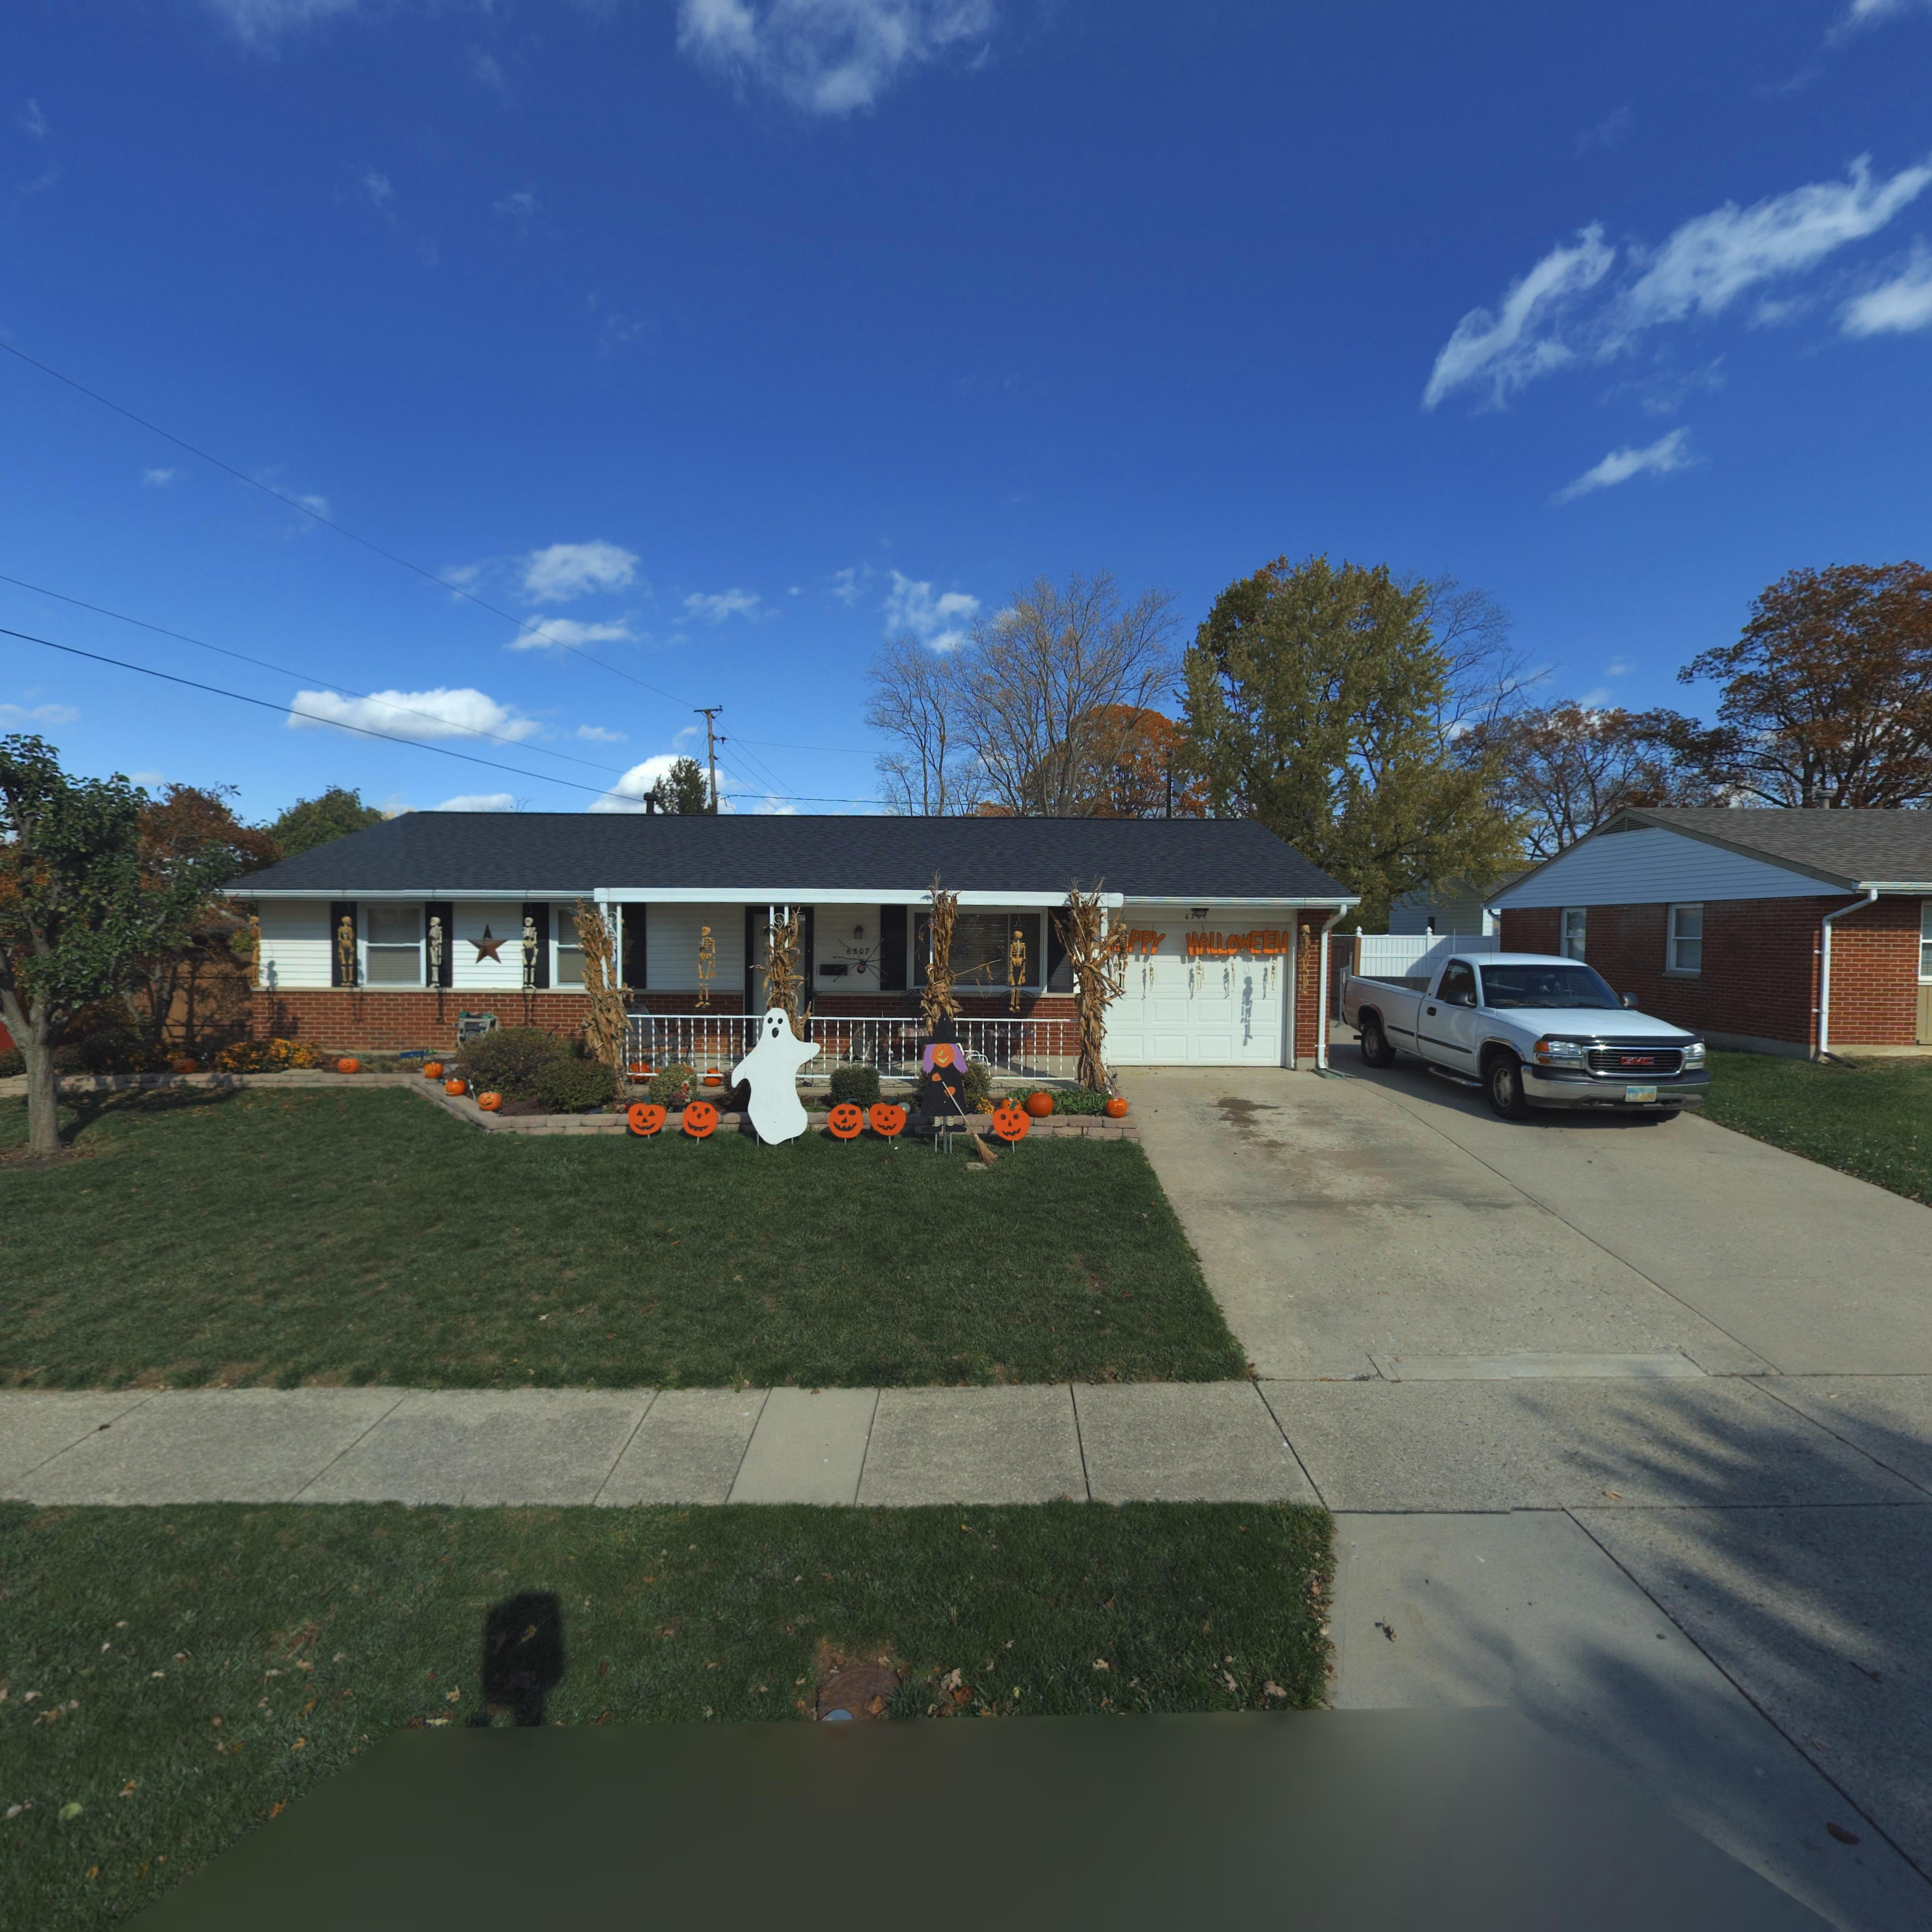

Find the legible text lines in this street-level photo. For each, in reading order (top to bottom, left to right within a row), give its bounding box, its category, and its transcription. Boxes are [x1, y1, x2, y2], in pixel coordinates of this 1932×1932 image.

[1184, 913, 1195, 920] StreetNumber: 63
[846, 947, 870, 956] StreetNumber: 6307